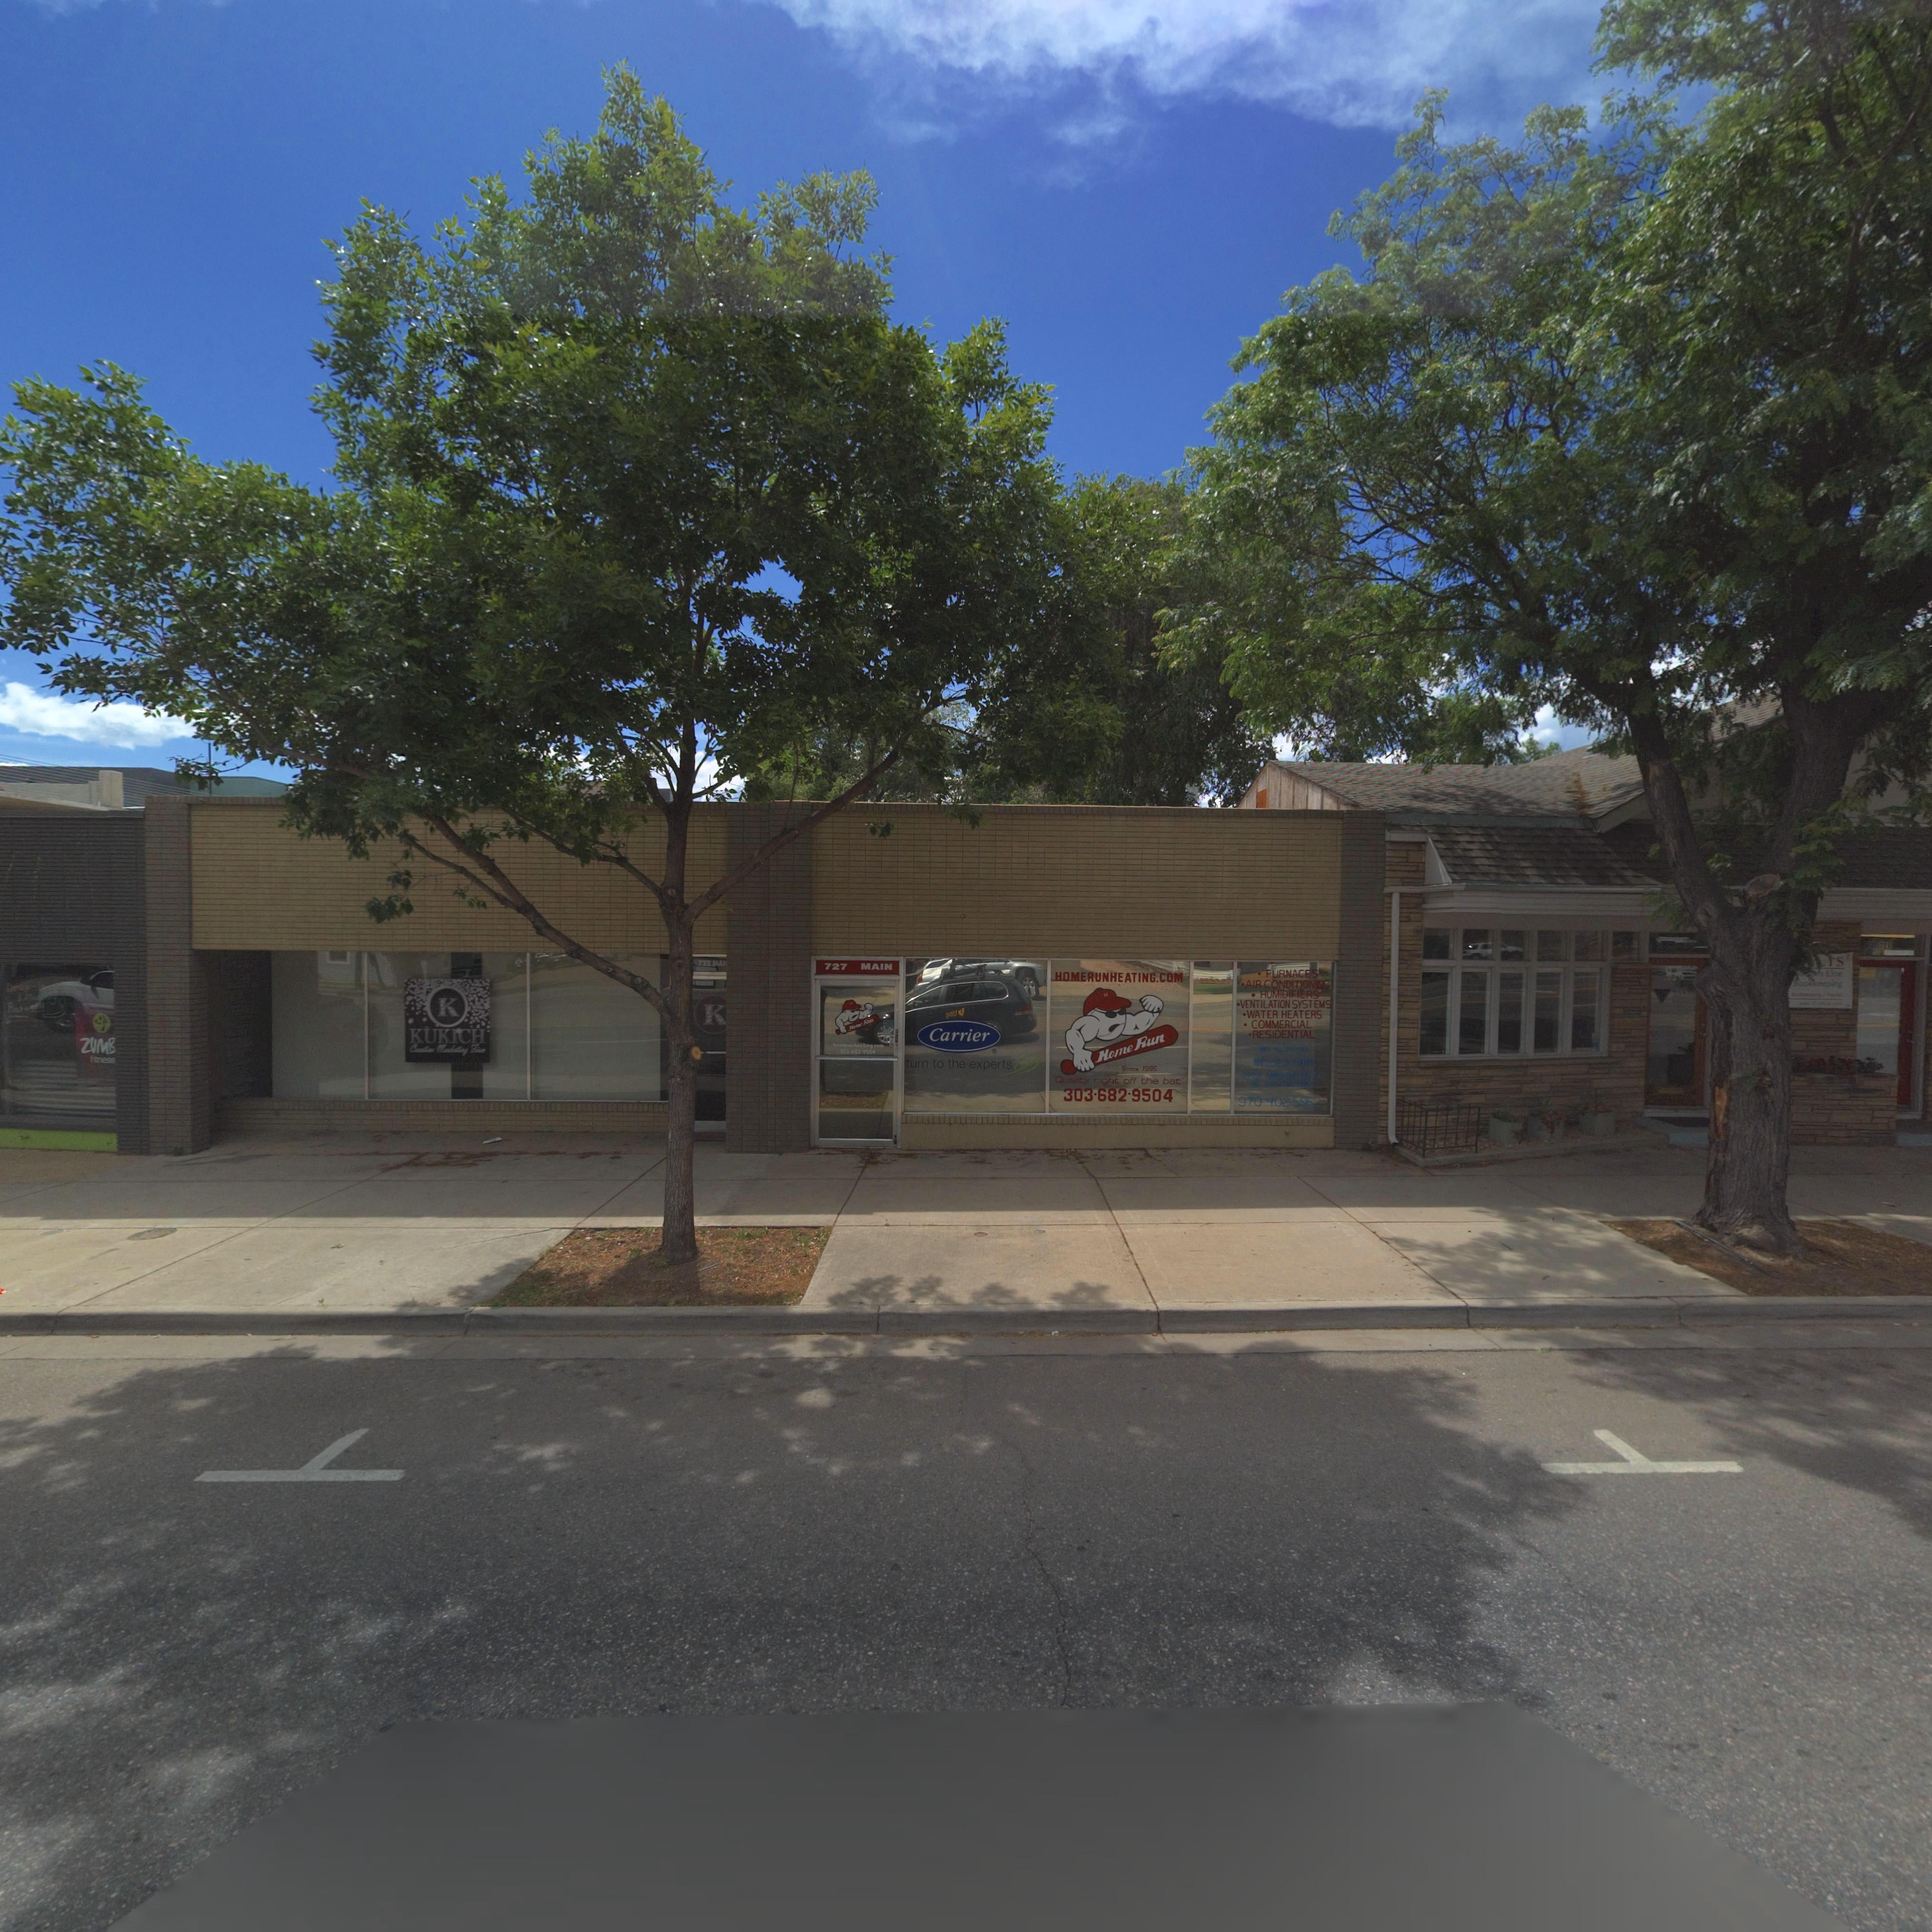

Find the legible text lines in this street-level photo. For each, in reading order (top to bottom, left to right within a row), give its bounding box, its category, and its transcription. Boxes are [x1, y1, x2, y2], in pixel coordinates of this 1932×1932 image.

[1879, 942, 1891, 949] StreetNumber: 731
[698, 959, 711, 966] StreetNumber: 725
[712, 959, 725, 966] StreetName: MAIN
[824, 962, 848, 970] StreetNumber: 727
[860, 963, 893, 970] BusinessName: MAIN
[1665, 972, 1685, 981] StreetNumber: 729
[847, 1018, 874, 1031] BusinessName: Home Run
[408, 1028, 486, 1044] BusinessName: KUKICH
[1094, 1033, 1165, 1063] BusinessName: Home Run